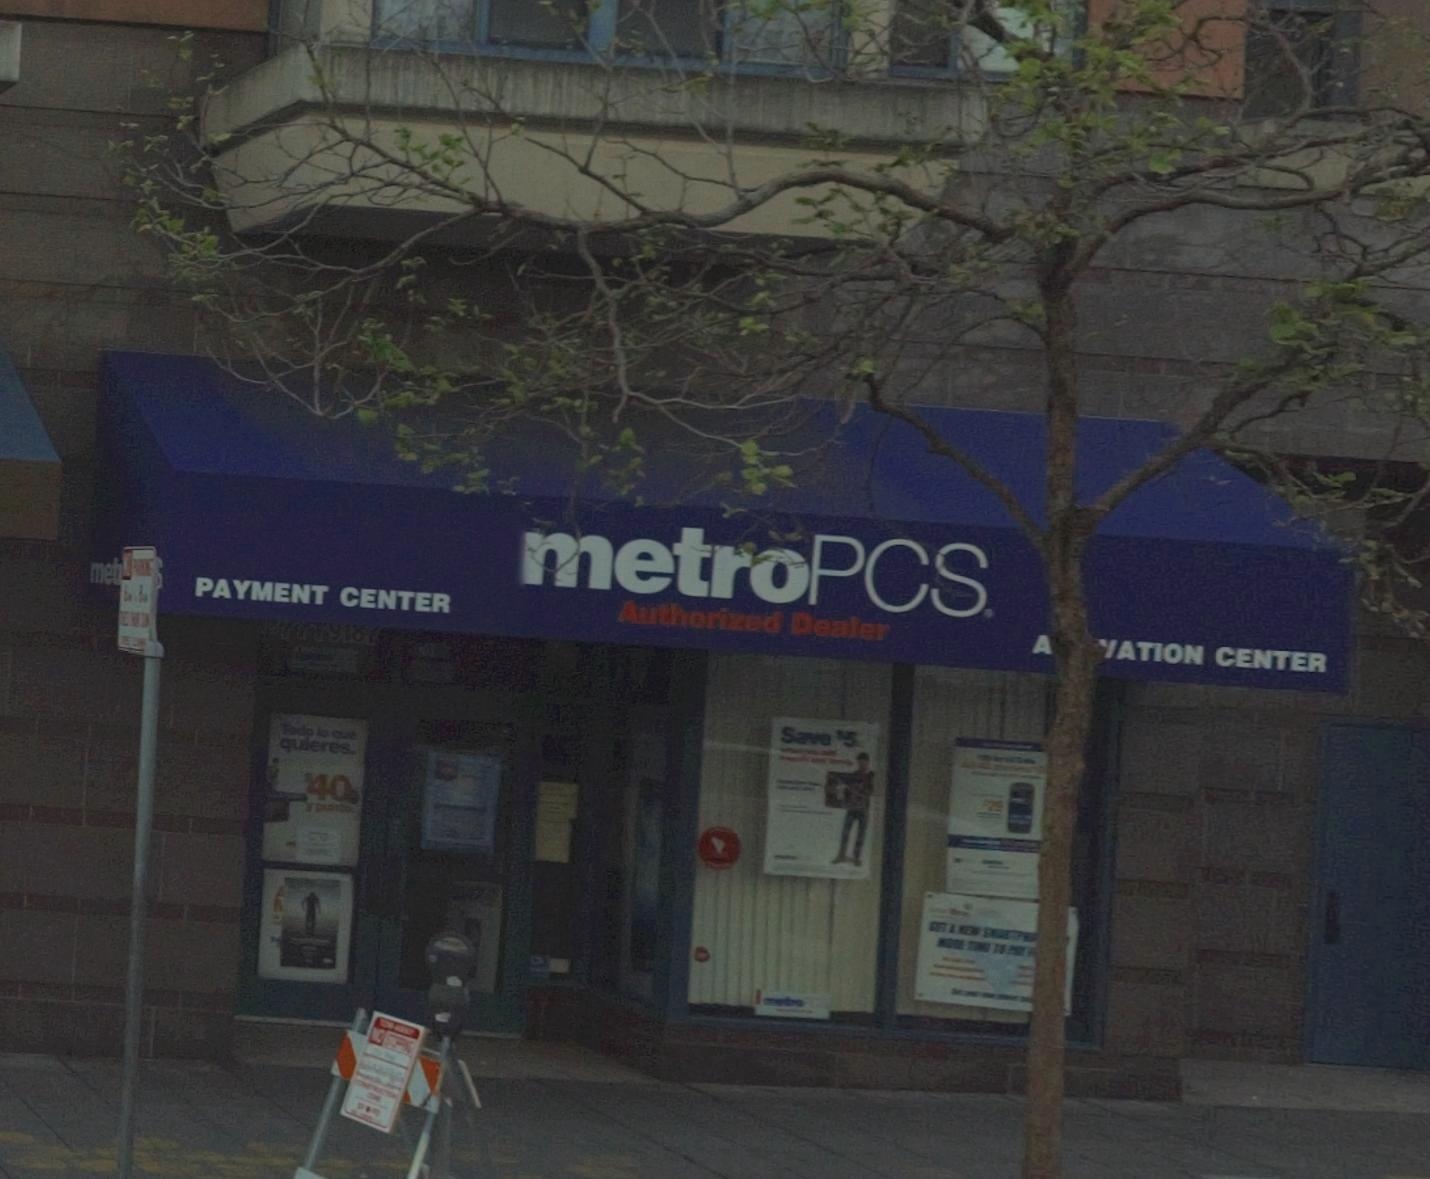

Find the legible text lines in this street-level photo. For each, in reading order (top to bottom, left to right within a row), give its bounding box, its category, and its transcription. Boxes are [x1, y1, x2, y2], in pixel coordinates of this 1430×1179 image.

[85, 555, 121, 589] BusinessName: met
[516, 523, 995, 625] BusinessName: metroPCS
[189, 574, 456, 620] None: PAYMENT CENTER
[606, 594, 896, 648] None: Authorized Dealer
[1023, 626, 1329, 675] None: A**ATION CENTER
[276, 735, 355, 758] None: quieres
[274, 721, 359, 744] None: Todo la que
[778, 721, 862, 753] None: Save $5
[299, 770, 362, 805] None: 40
[366, 1023, 416, 1059] None: NO STOPPING